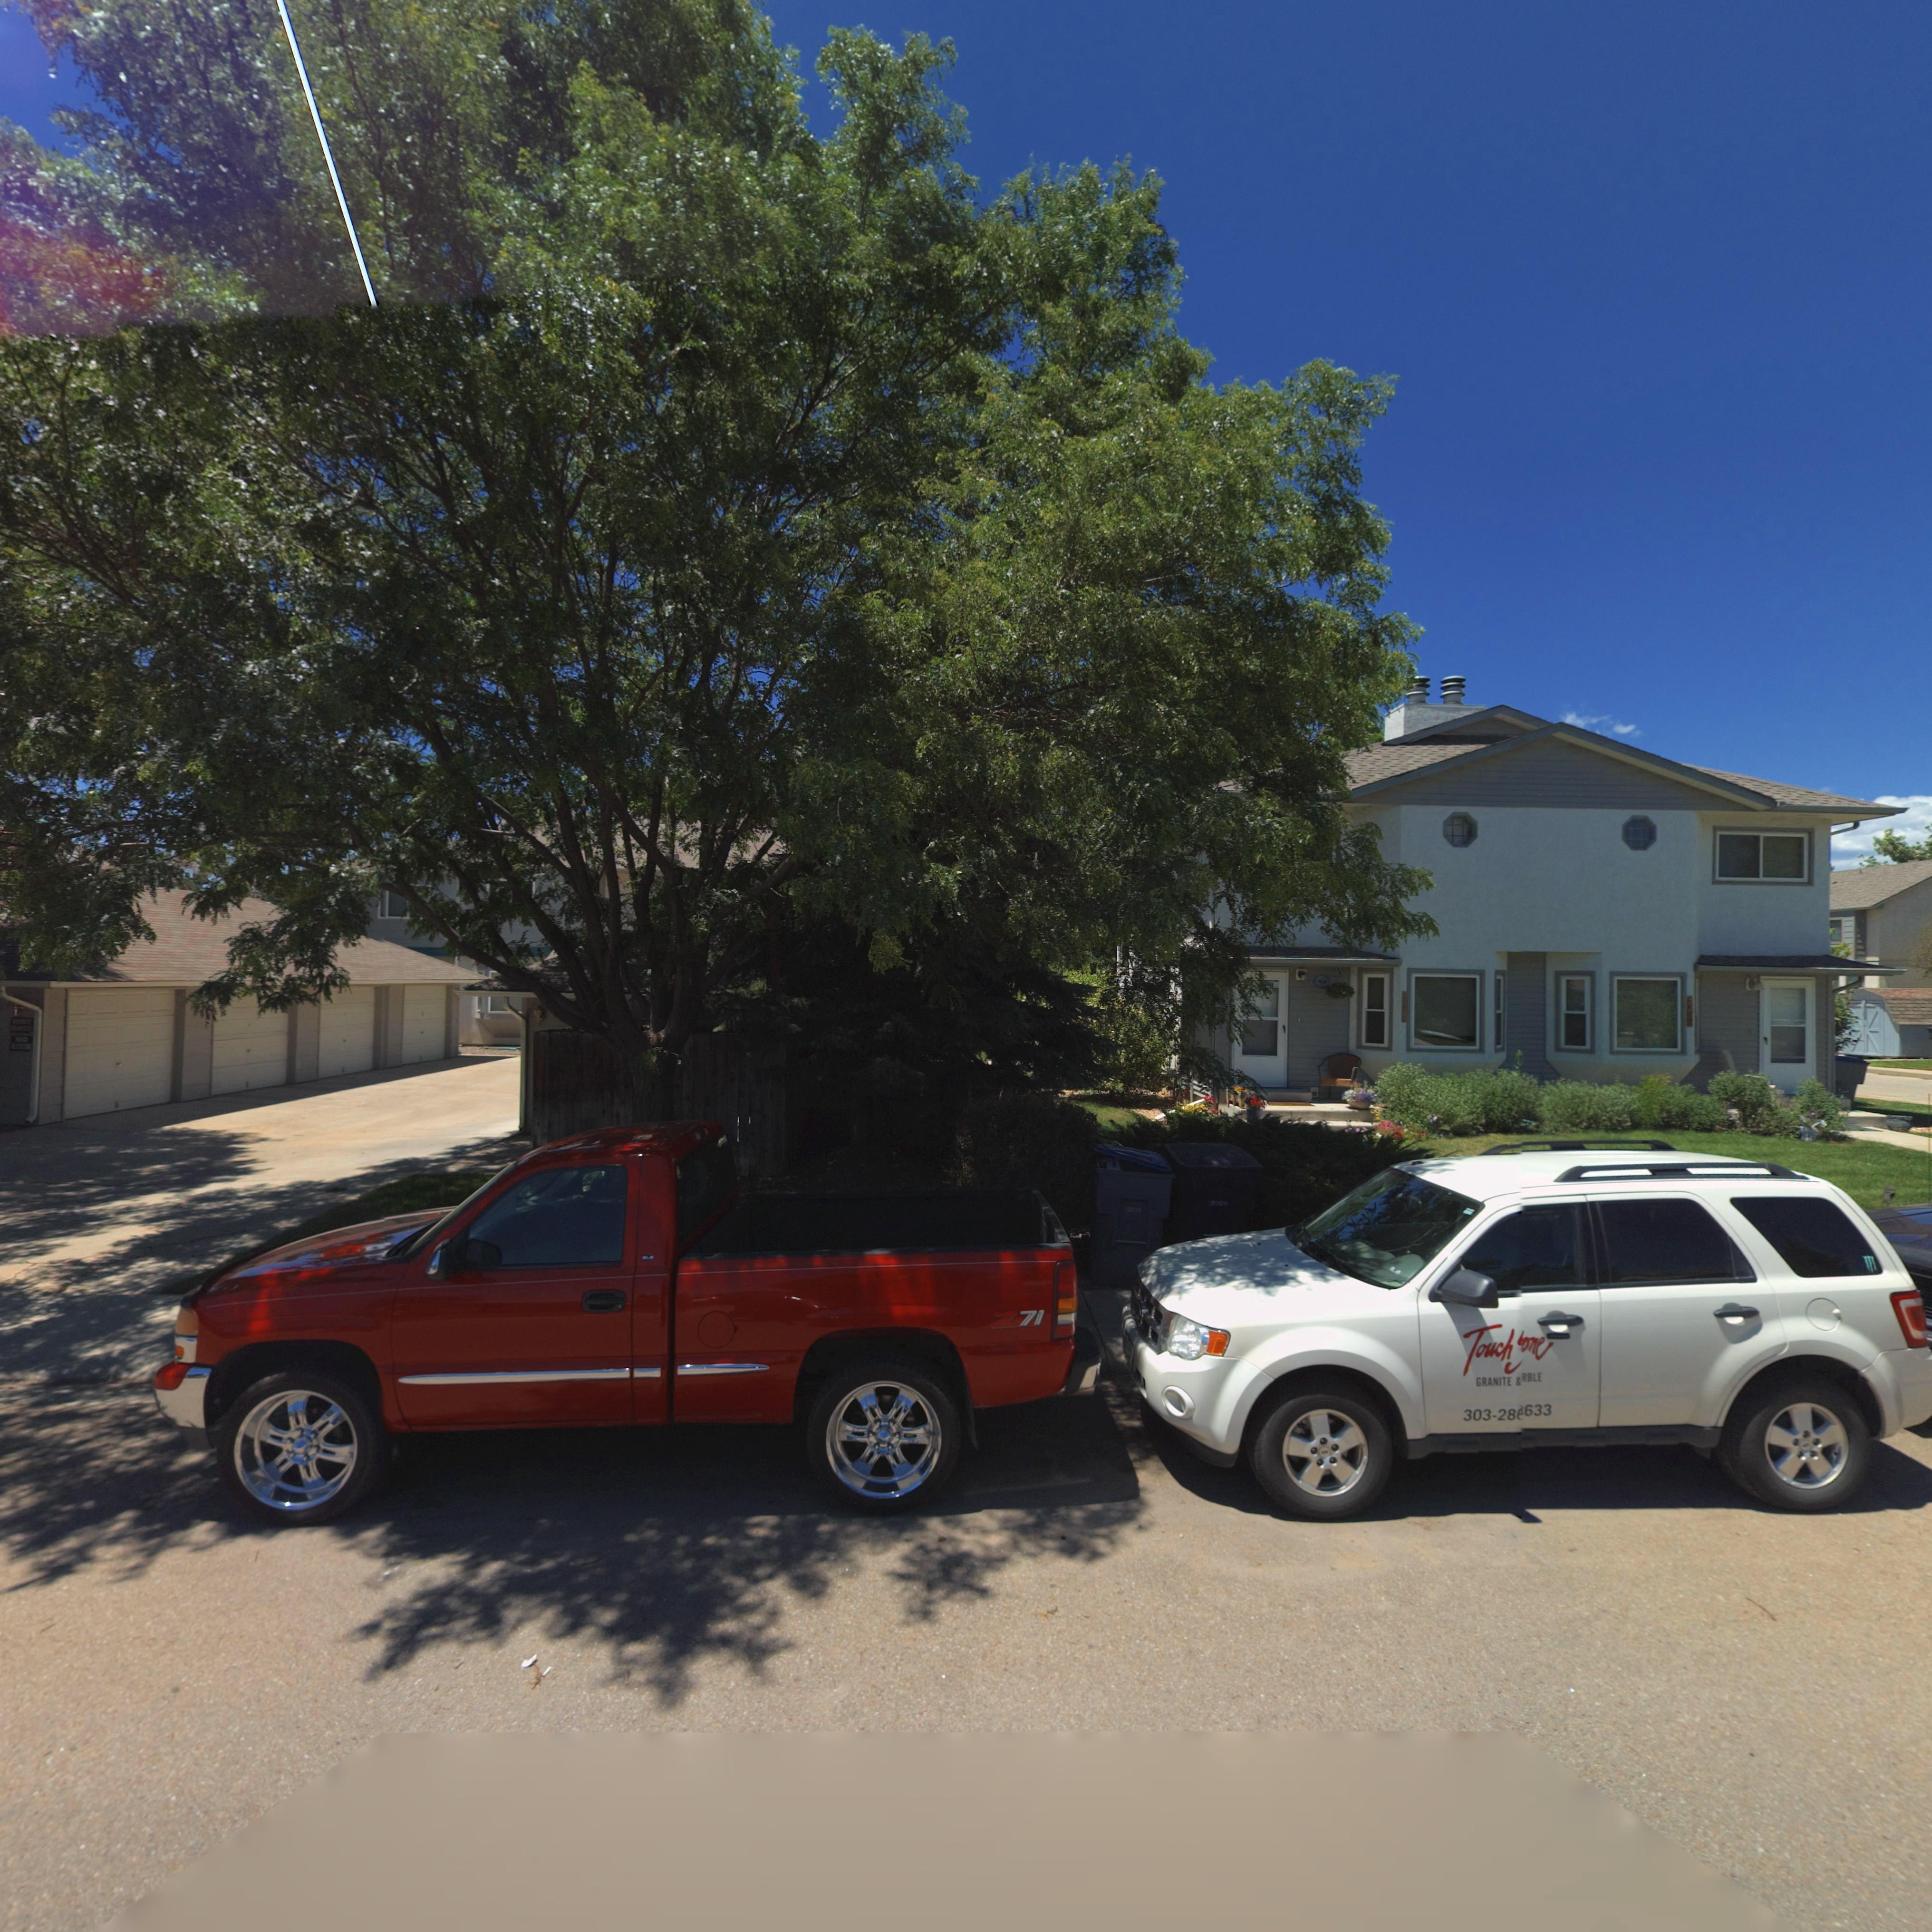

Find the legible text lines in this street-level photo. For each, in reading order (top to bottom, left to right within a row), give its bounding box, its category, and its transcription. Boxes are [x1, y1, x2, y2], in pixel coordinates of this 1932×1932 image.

[1402, 991, 1406, 1023] StreetNumber: 2***
[1687, 997, 1692, 1027] StreetNumber: 2***